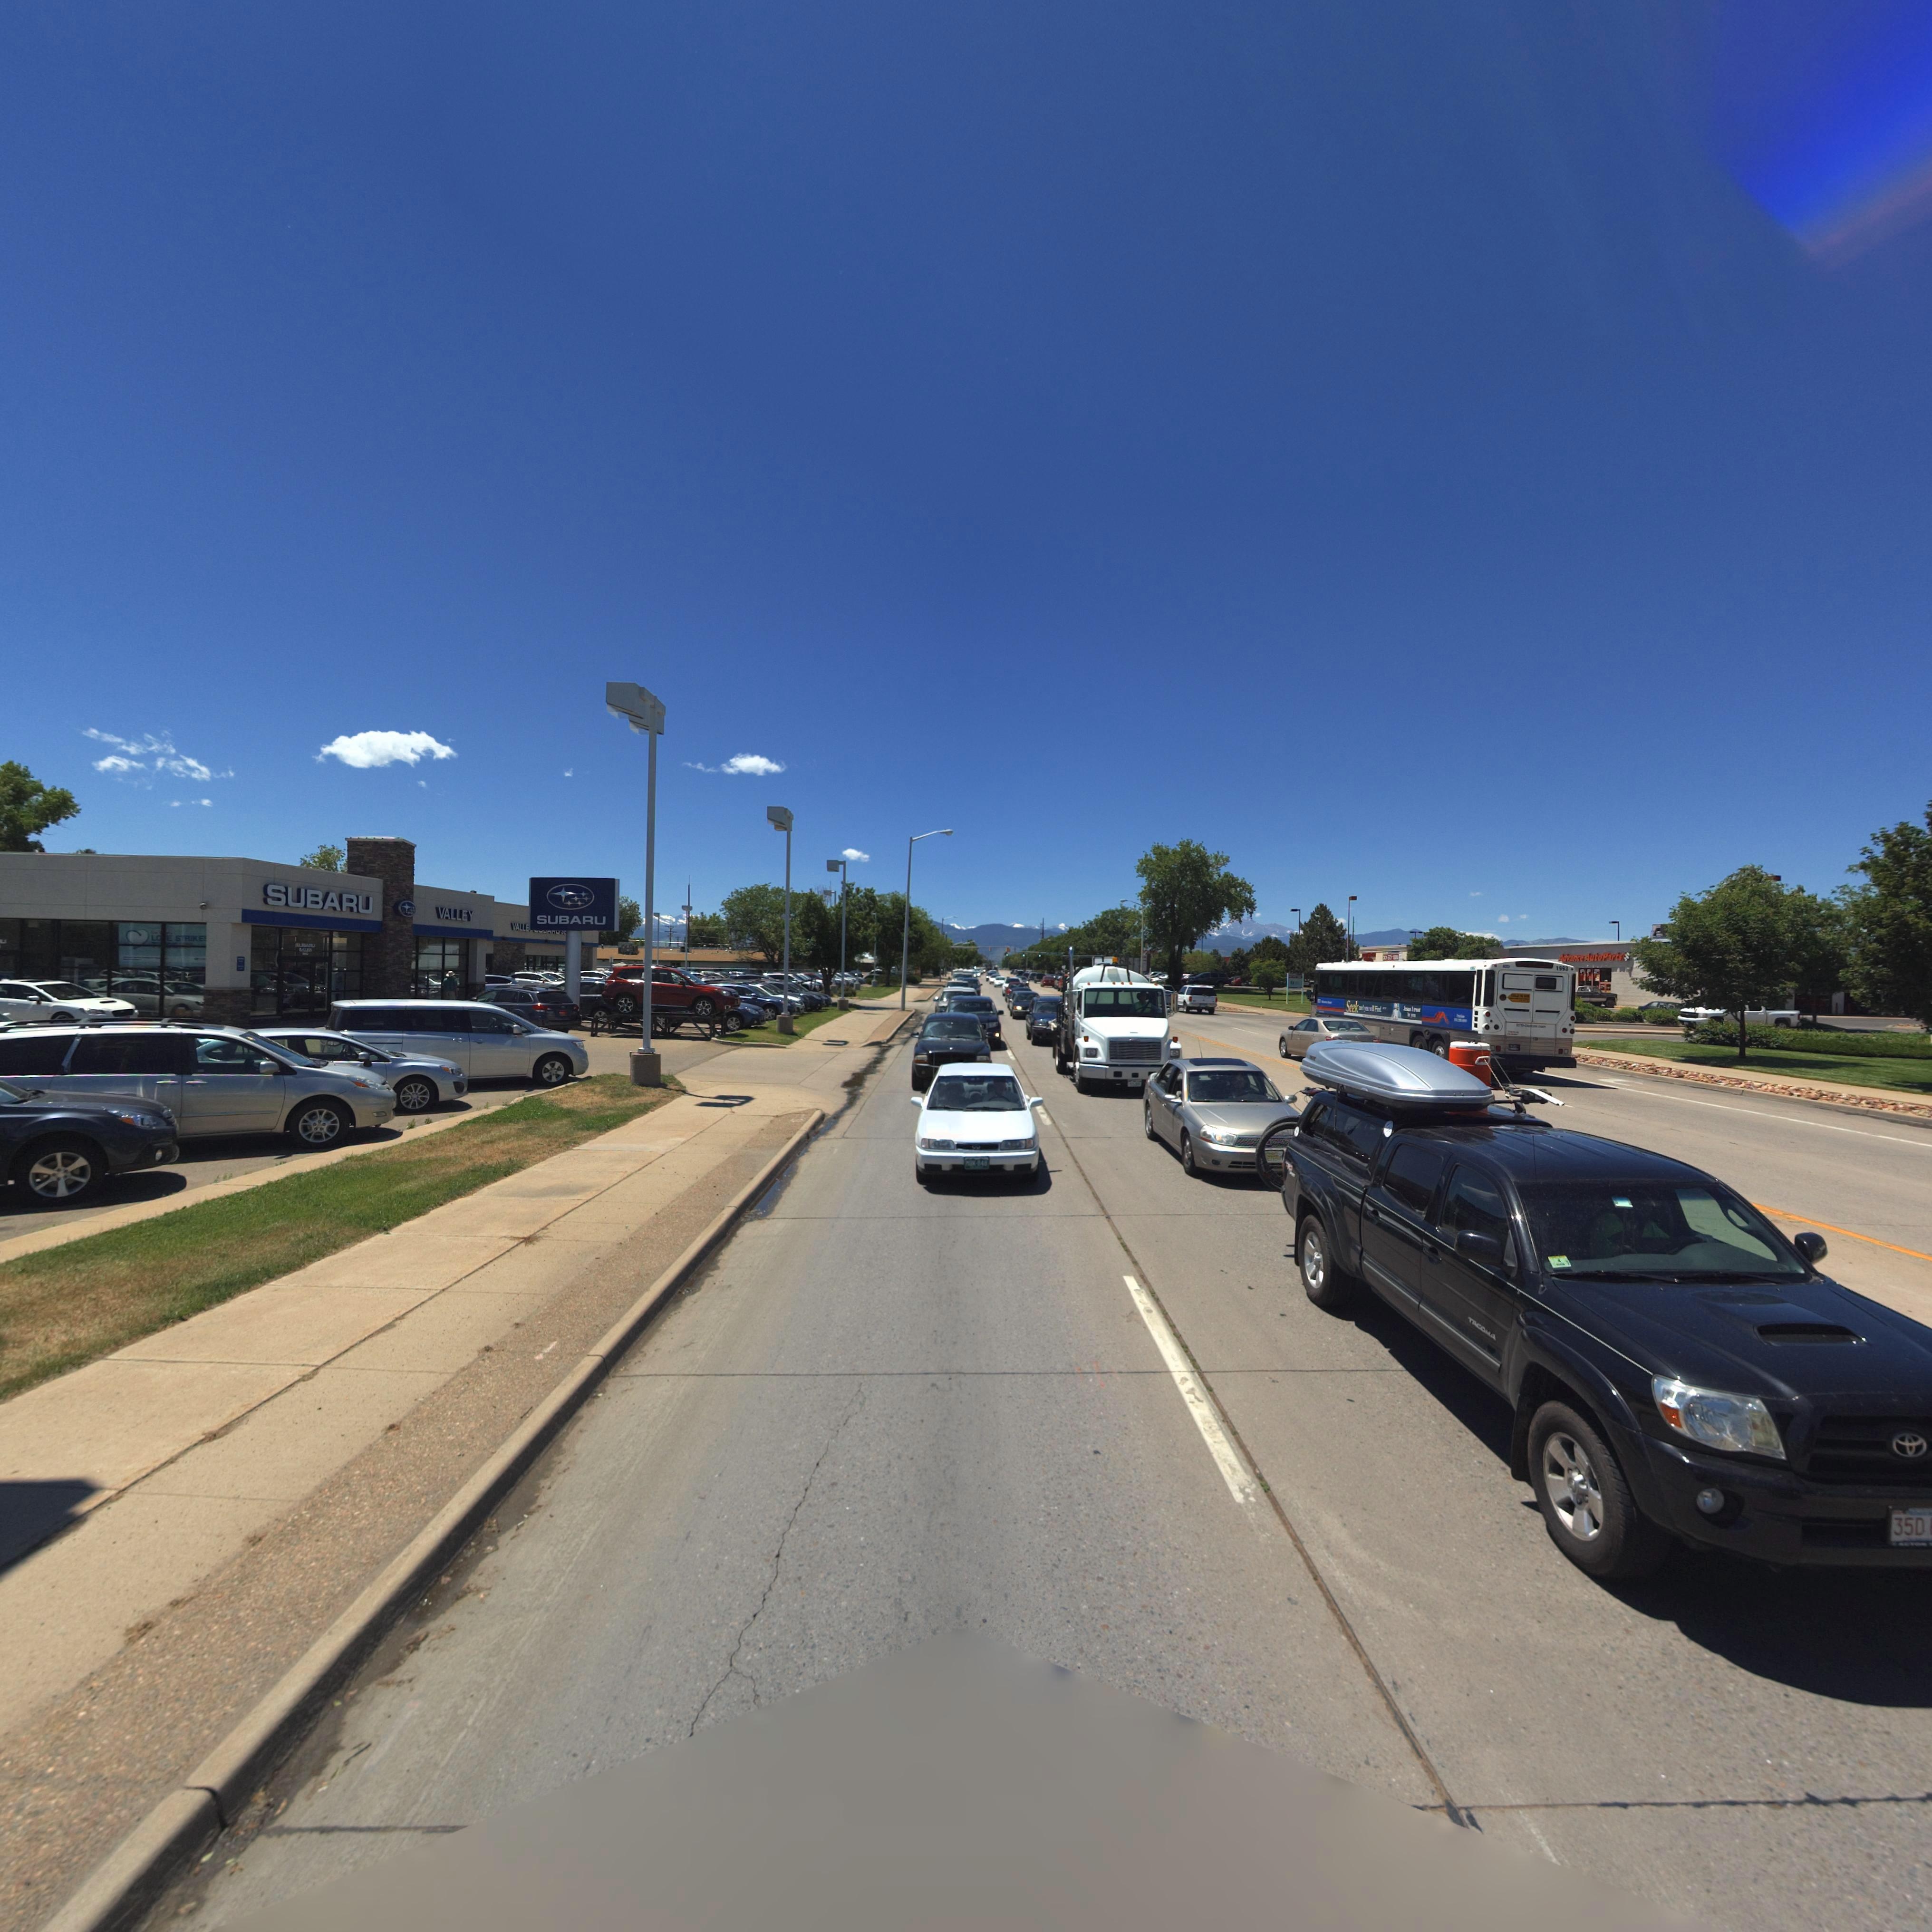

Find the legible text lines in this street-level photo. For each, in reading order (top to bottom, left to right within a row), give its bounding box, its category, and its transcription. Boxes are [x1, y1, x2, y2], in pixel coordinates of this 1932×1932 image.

[264, 883, 373, 914] BusinessName: SUBARU
[436, 907, 475, 921] BusinessName: VALLEY
[536, 915, 606, 925] BusinessName: SUBARU
[511, 922, 529, 932] BusinessName: VALLE
[295, 943, 315, 947] BusinessName: SUBARU
[299, 948, 312, 952] BusinessName: SALES
[1556, 952, 1624, 962] BusinessName: Advance Auto Parts